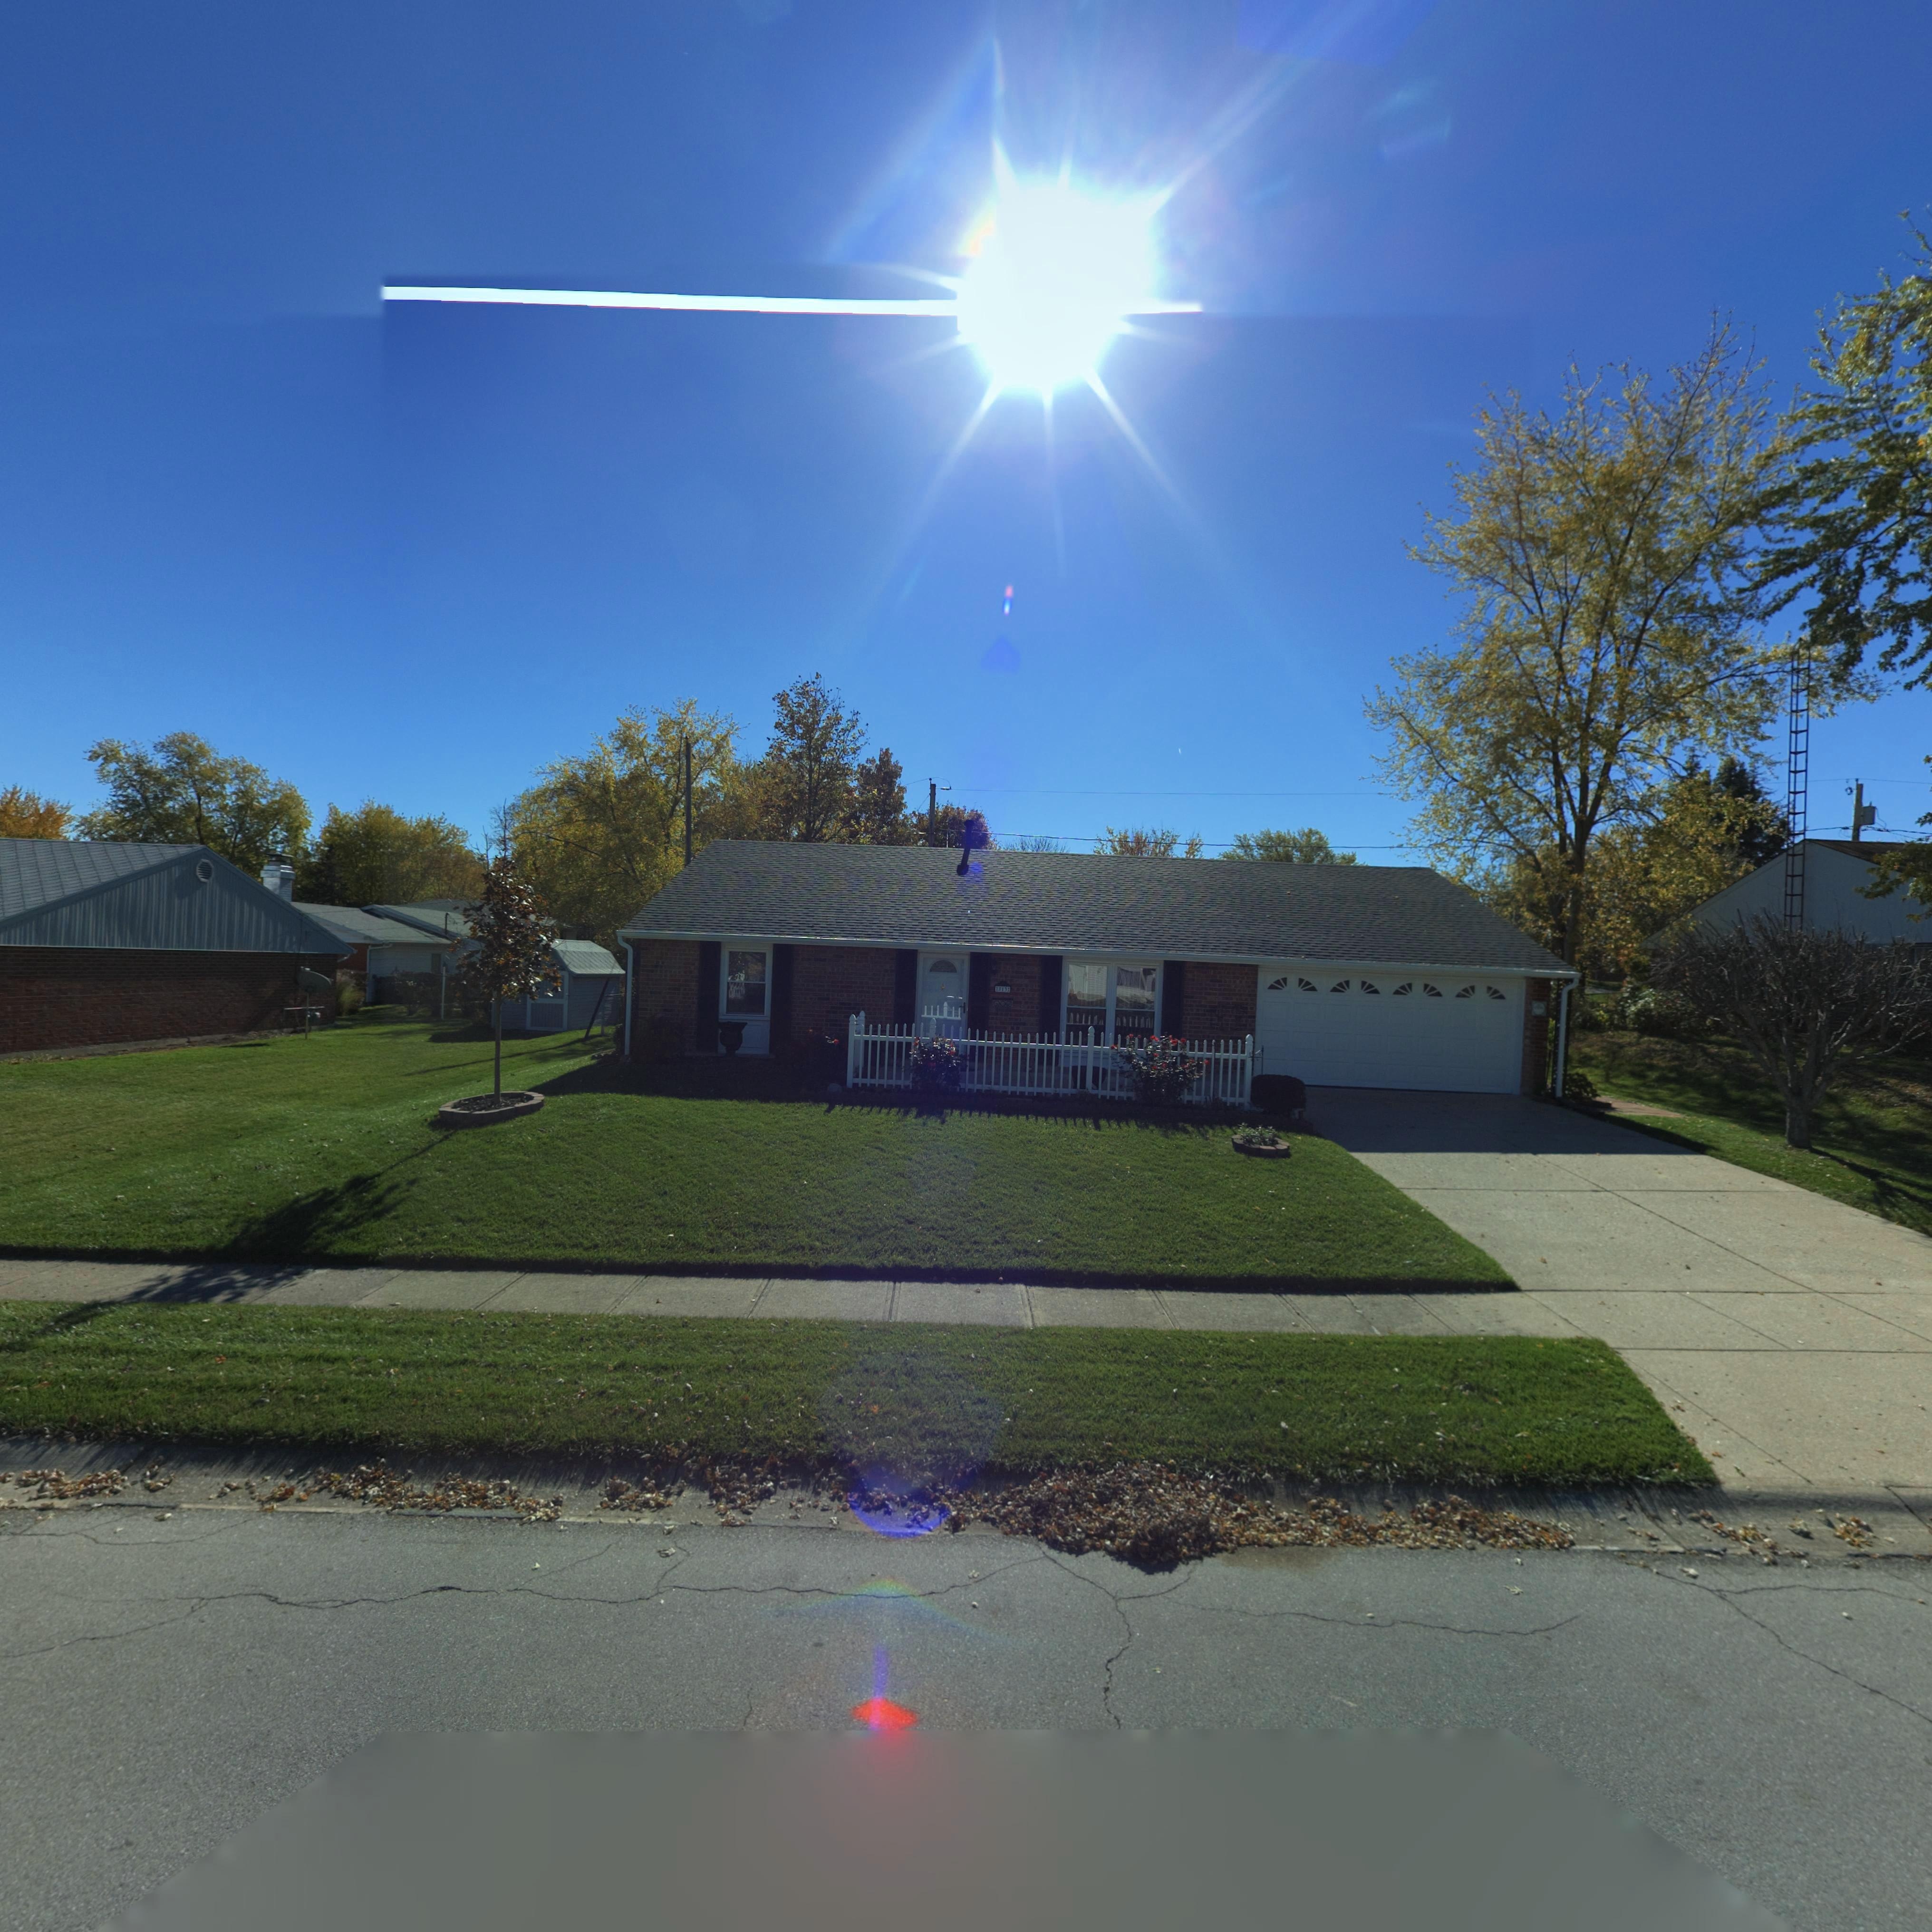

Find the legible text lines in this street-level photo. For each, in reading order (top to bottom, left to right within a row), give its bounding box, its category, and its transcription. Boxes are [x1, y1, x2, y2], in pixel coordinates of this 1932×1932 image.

[998, 986, 1007, 992] StreetNumber: 813